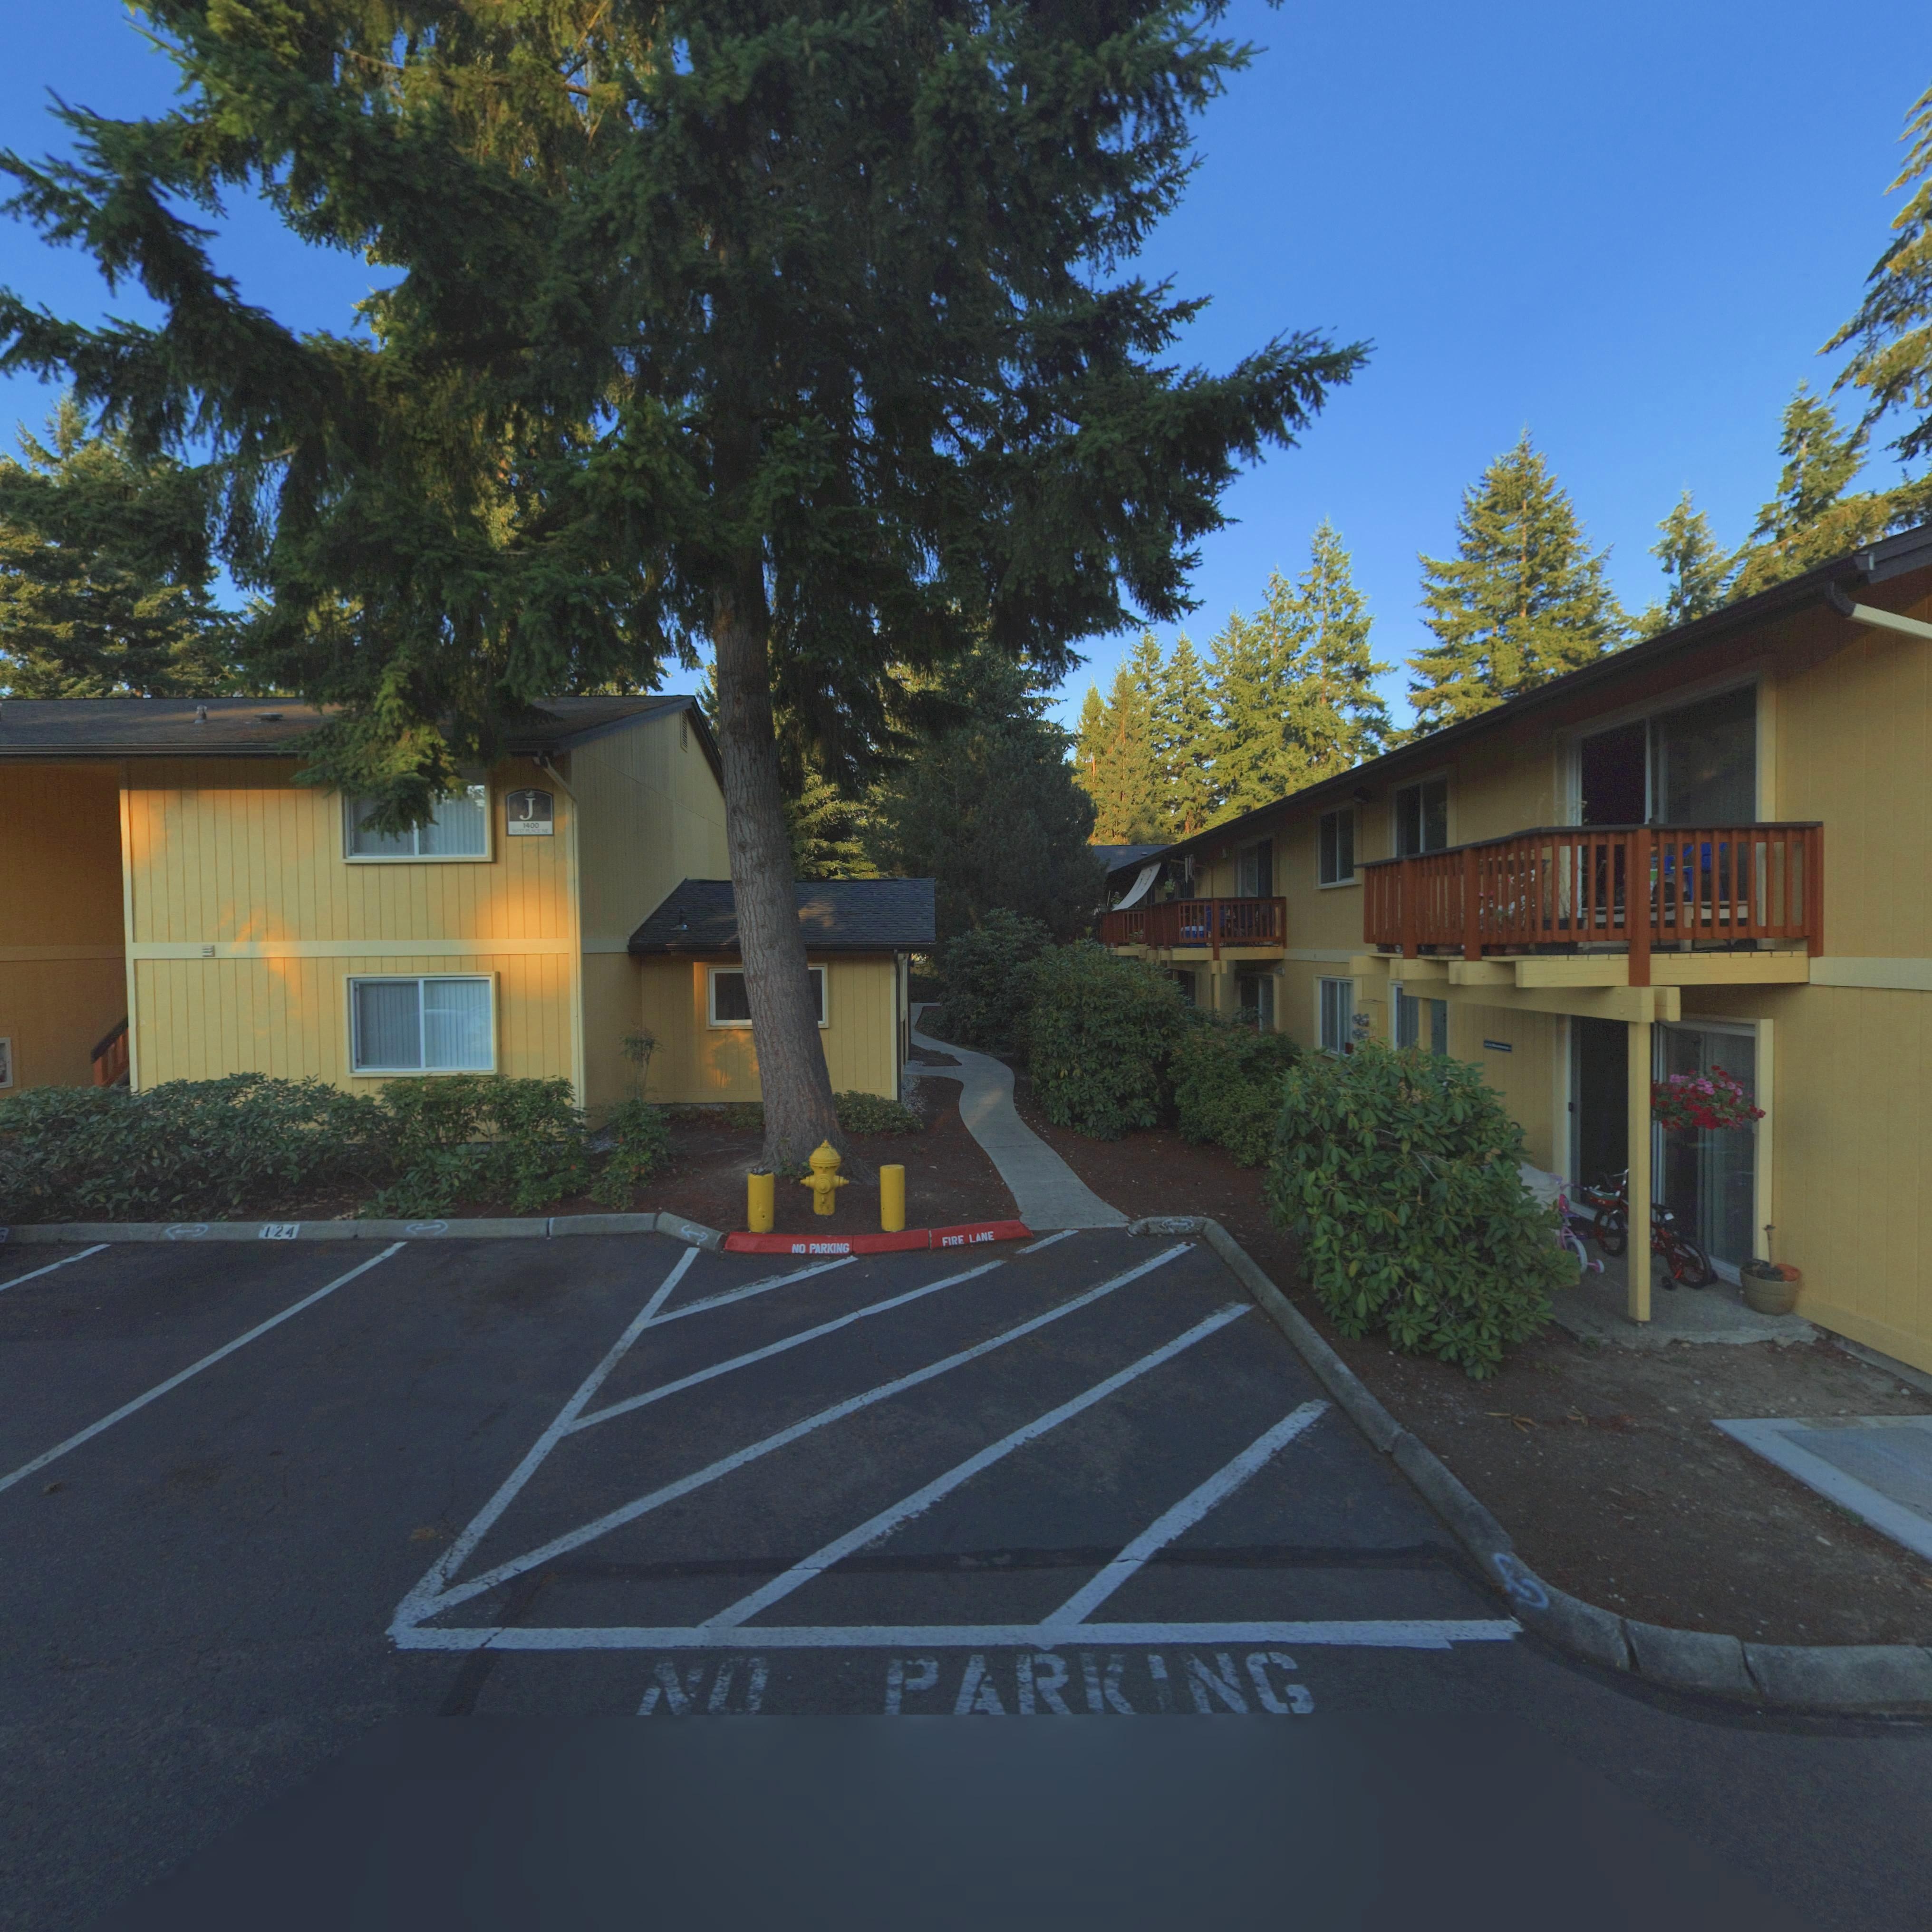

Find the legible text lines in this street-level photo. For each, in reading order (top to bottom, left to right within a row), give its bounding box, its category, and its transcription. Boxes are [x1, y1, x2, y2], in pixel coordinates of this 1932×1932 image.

[522, 821, 539, 828] StreetNumber: 1400
[525, 828, 540, 833] StreetName: PLACE